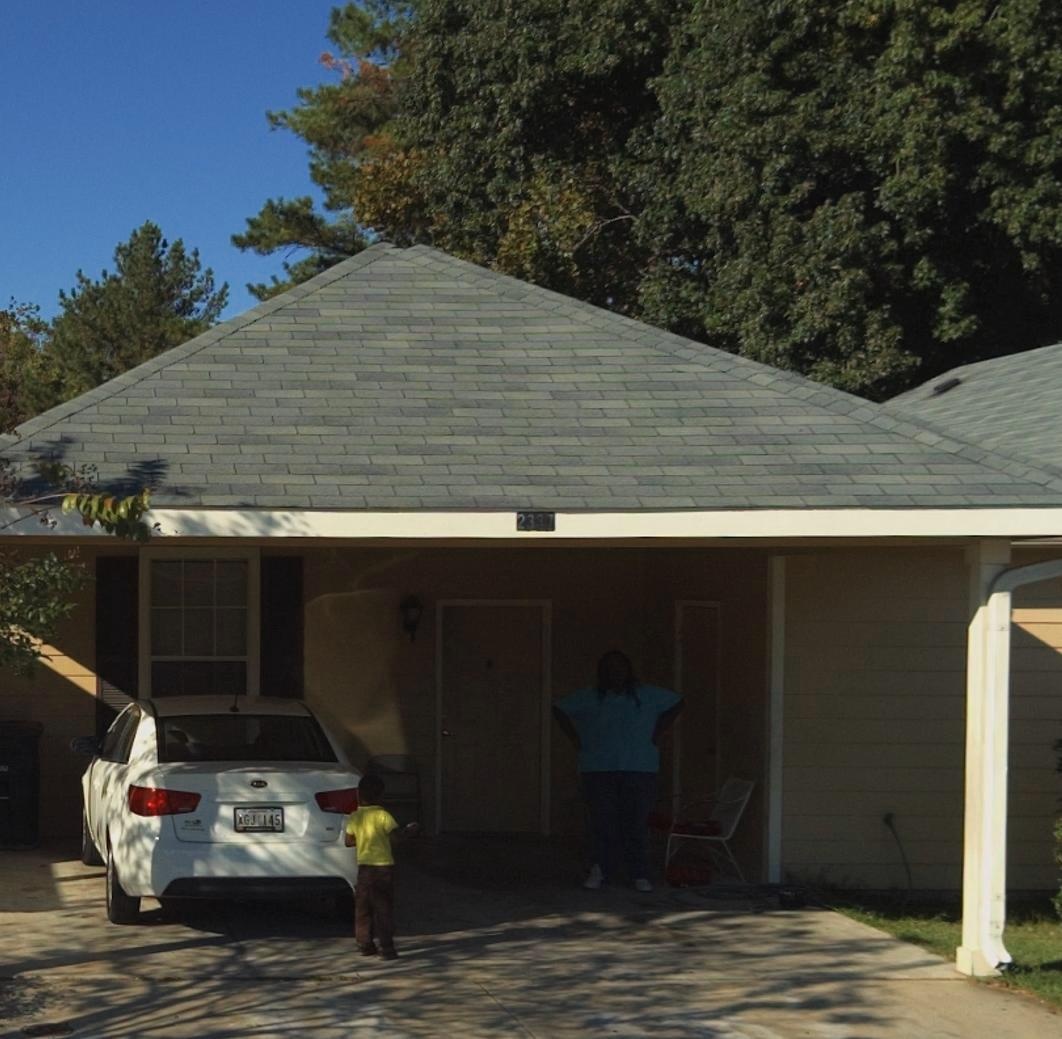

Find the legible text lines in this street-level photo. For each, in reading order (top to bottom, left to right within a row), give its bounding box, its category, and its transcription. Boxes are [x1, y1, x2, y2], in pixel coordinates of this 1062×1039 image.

[517, 512, 554, 531] StreetNumber: 2337
[242, 812, 281, 827] None: GJ 145